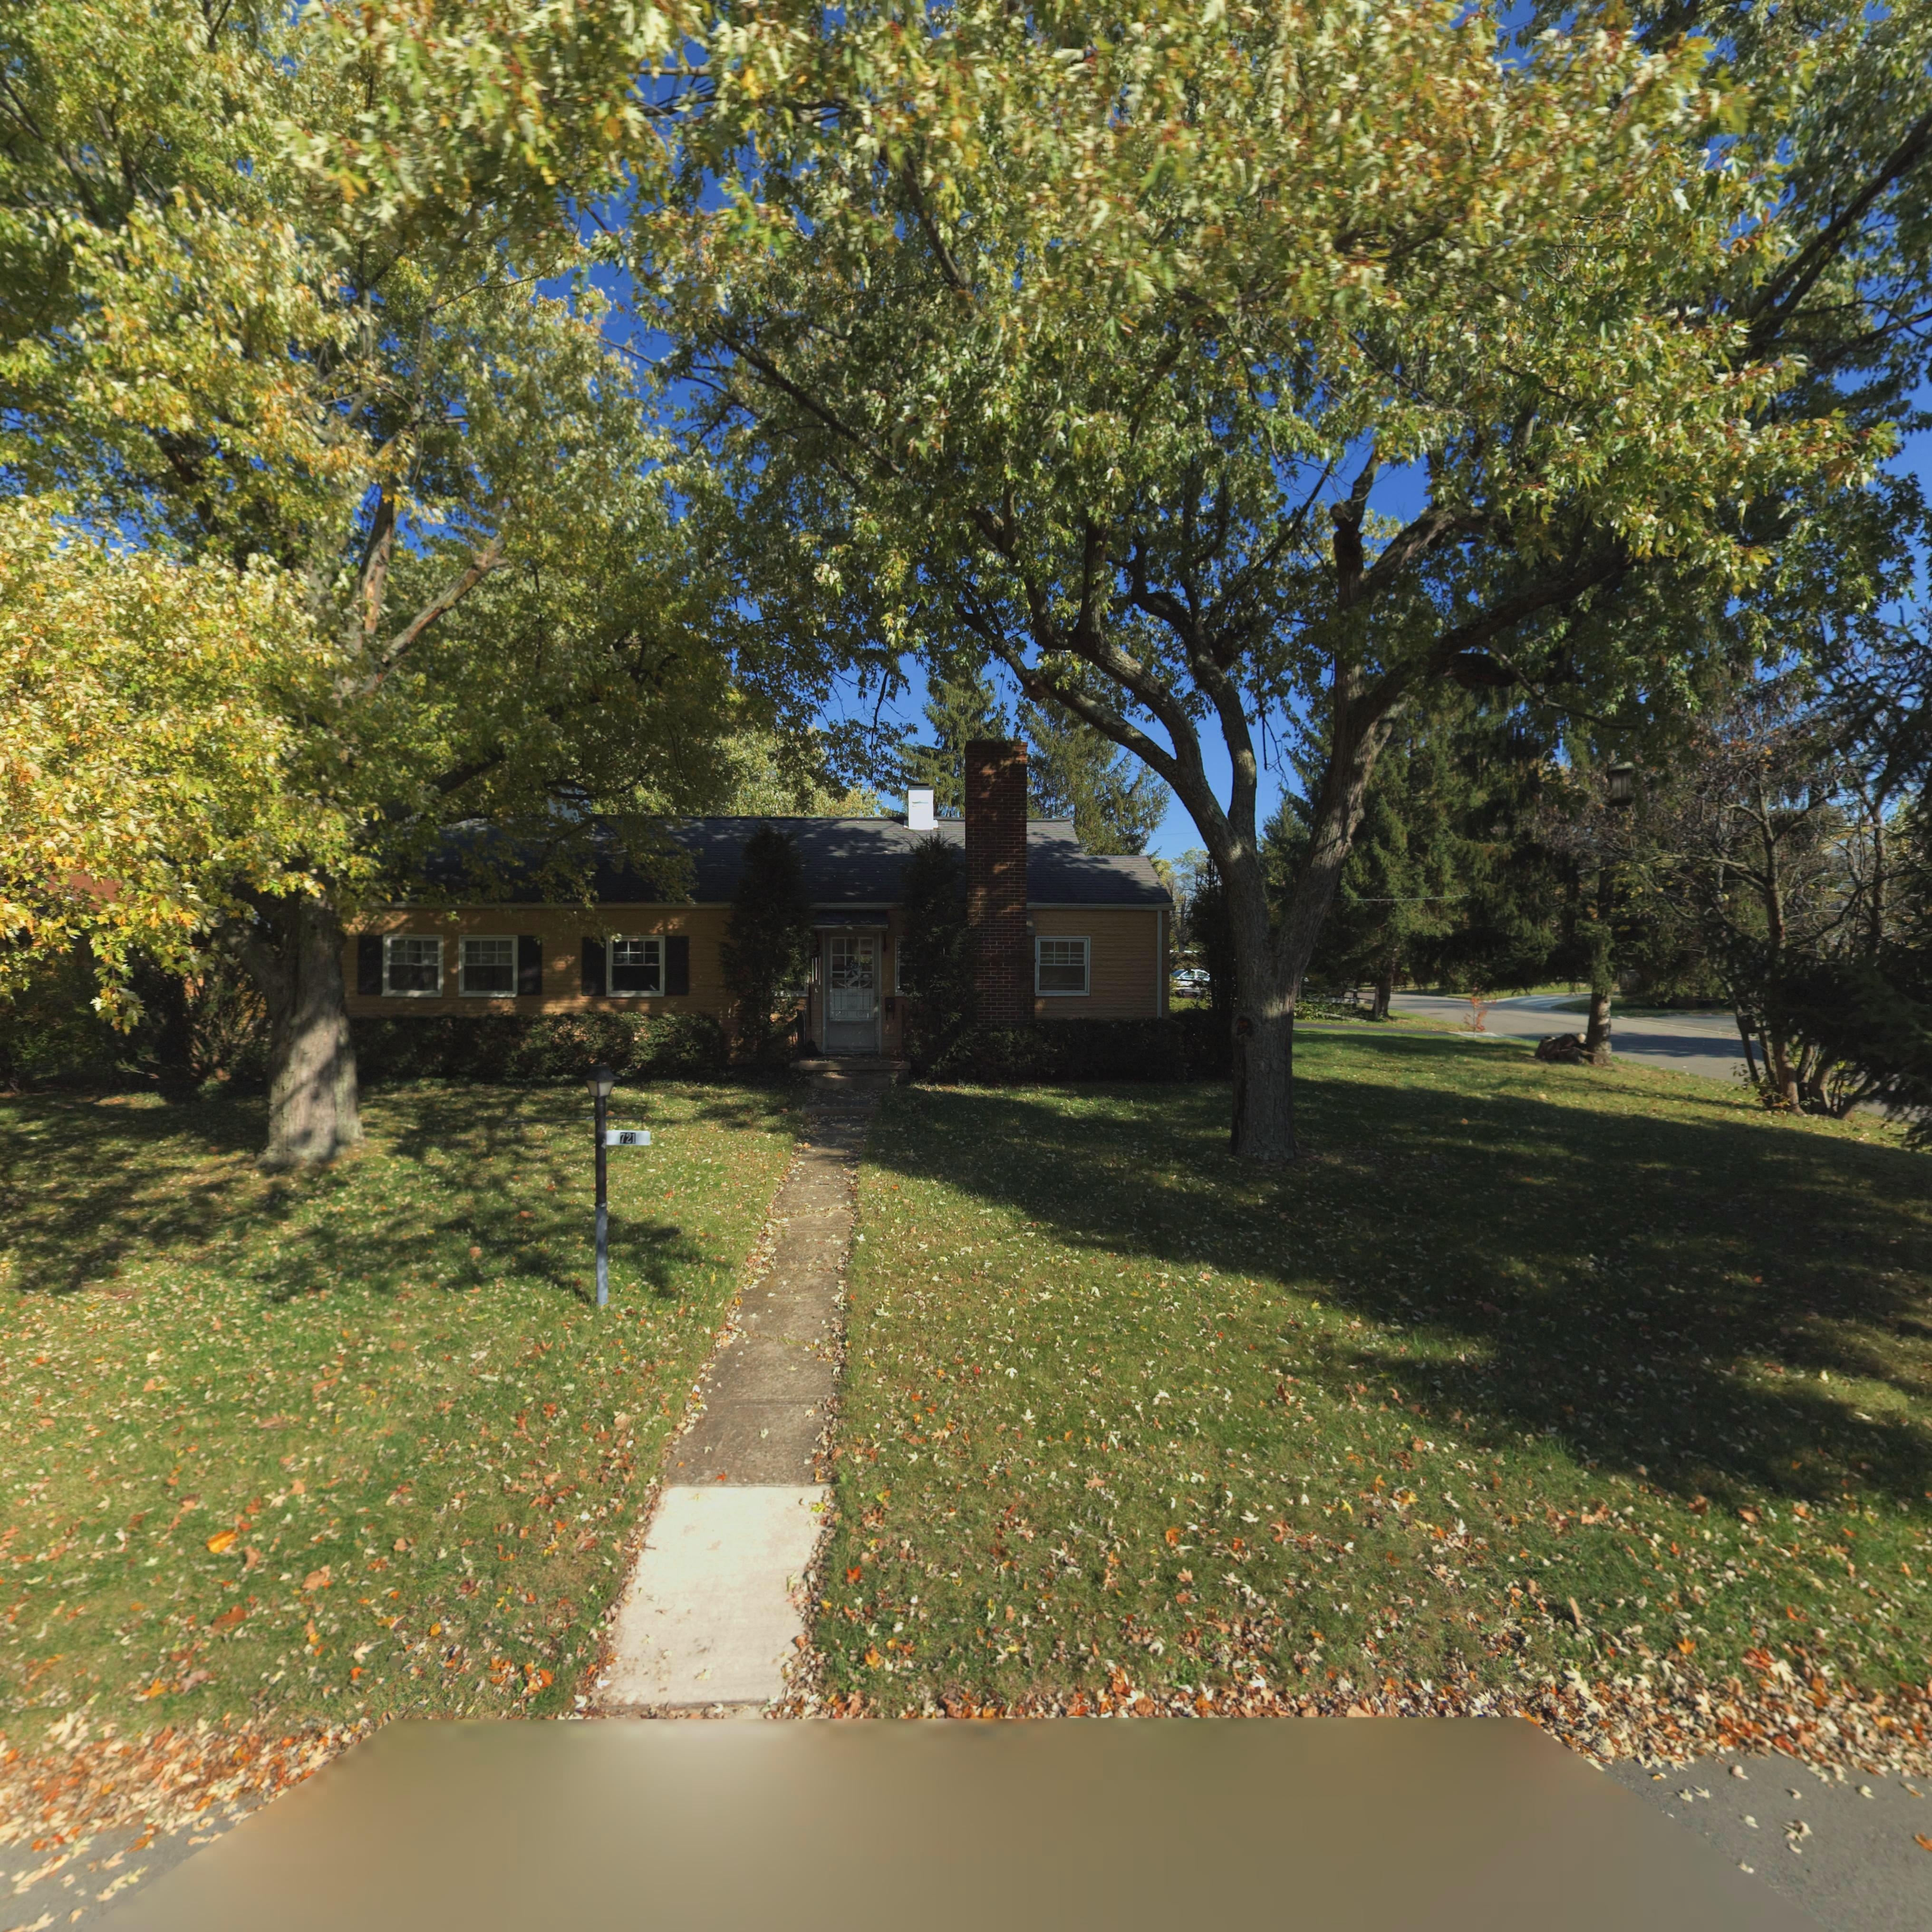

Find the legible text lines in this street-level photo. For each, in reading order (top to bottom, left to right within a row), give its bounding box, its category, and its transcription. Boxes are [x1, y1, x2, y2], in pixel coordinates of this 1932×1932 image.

[620, 1132, 636, 1144] StreetNumber: 721